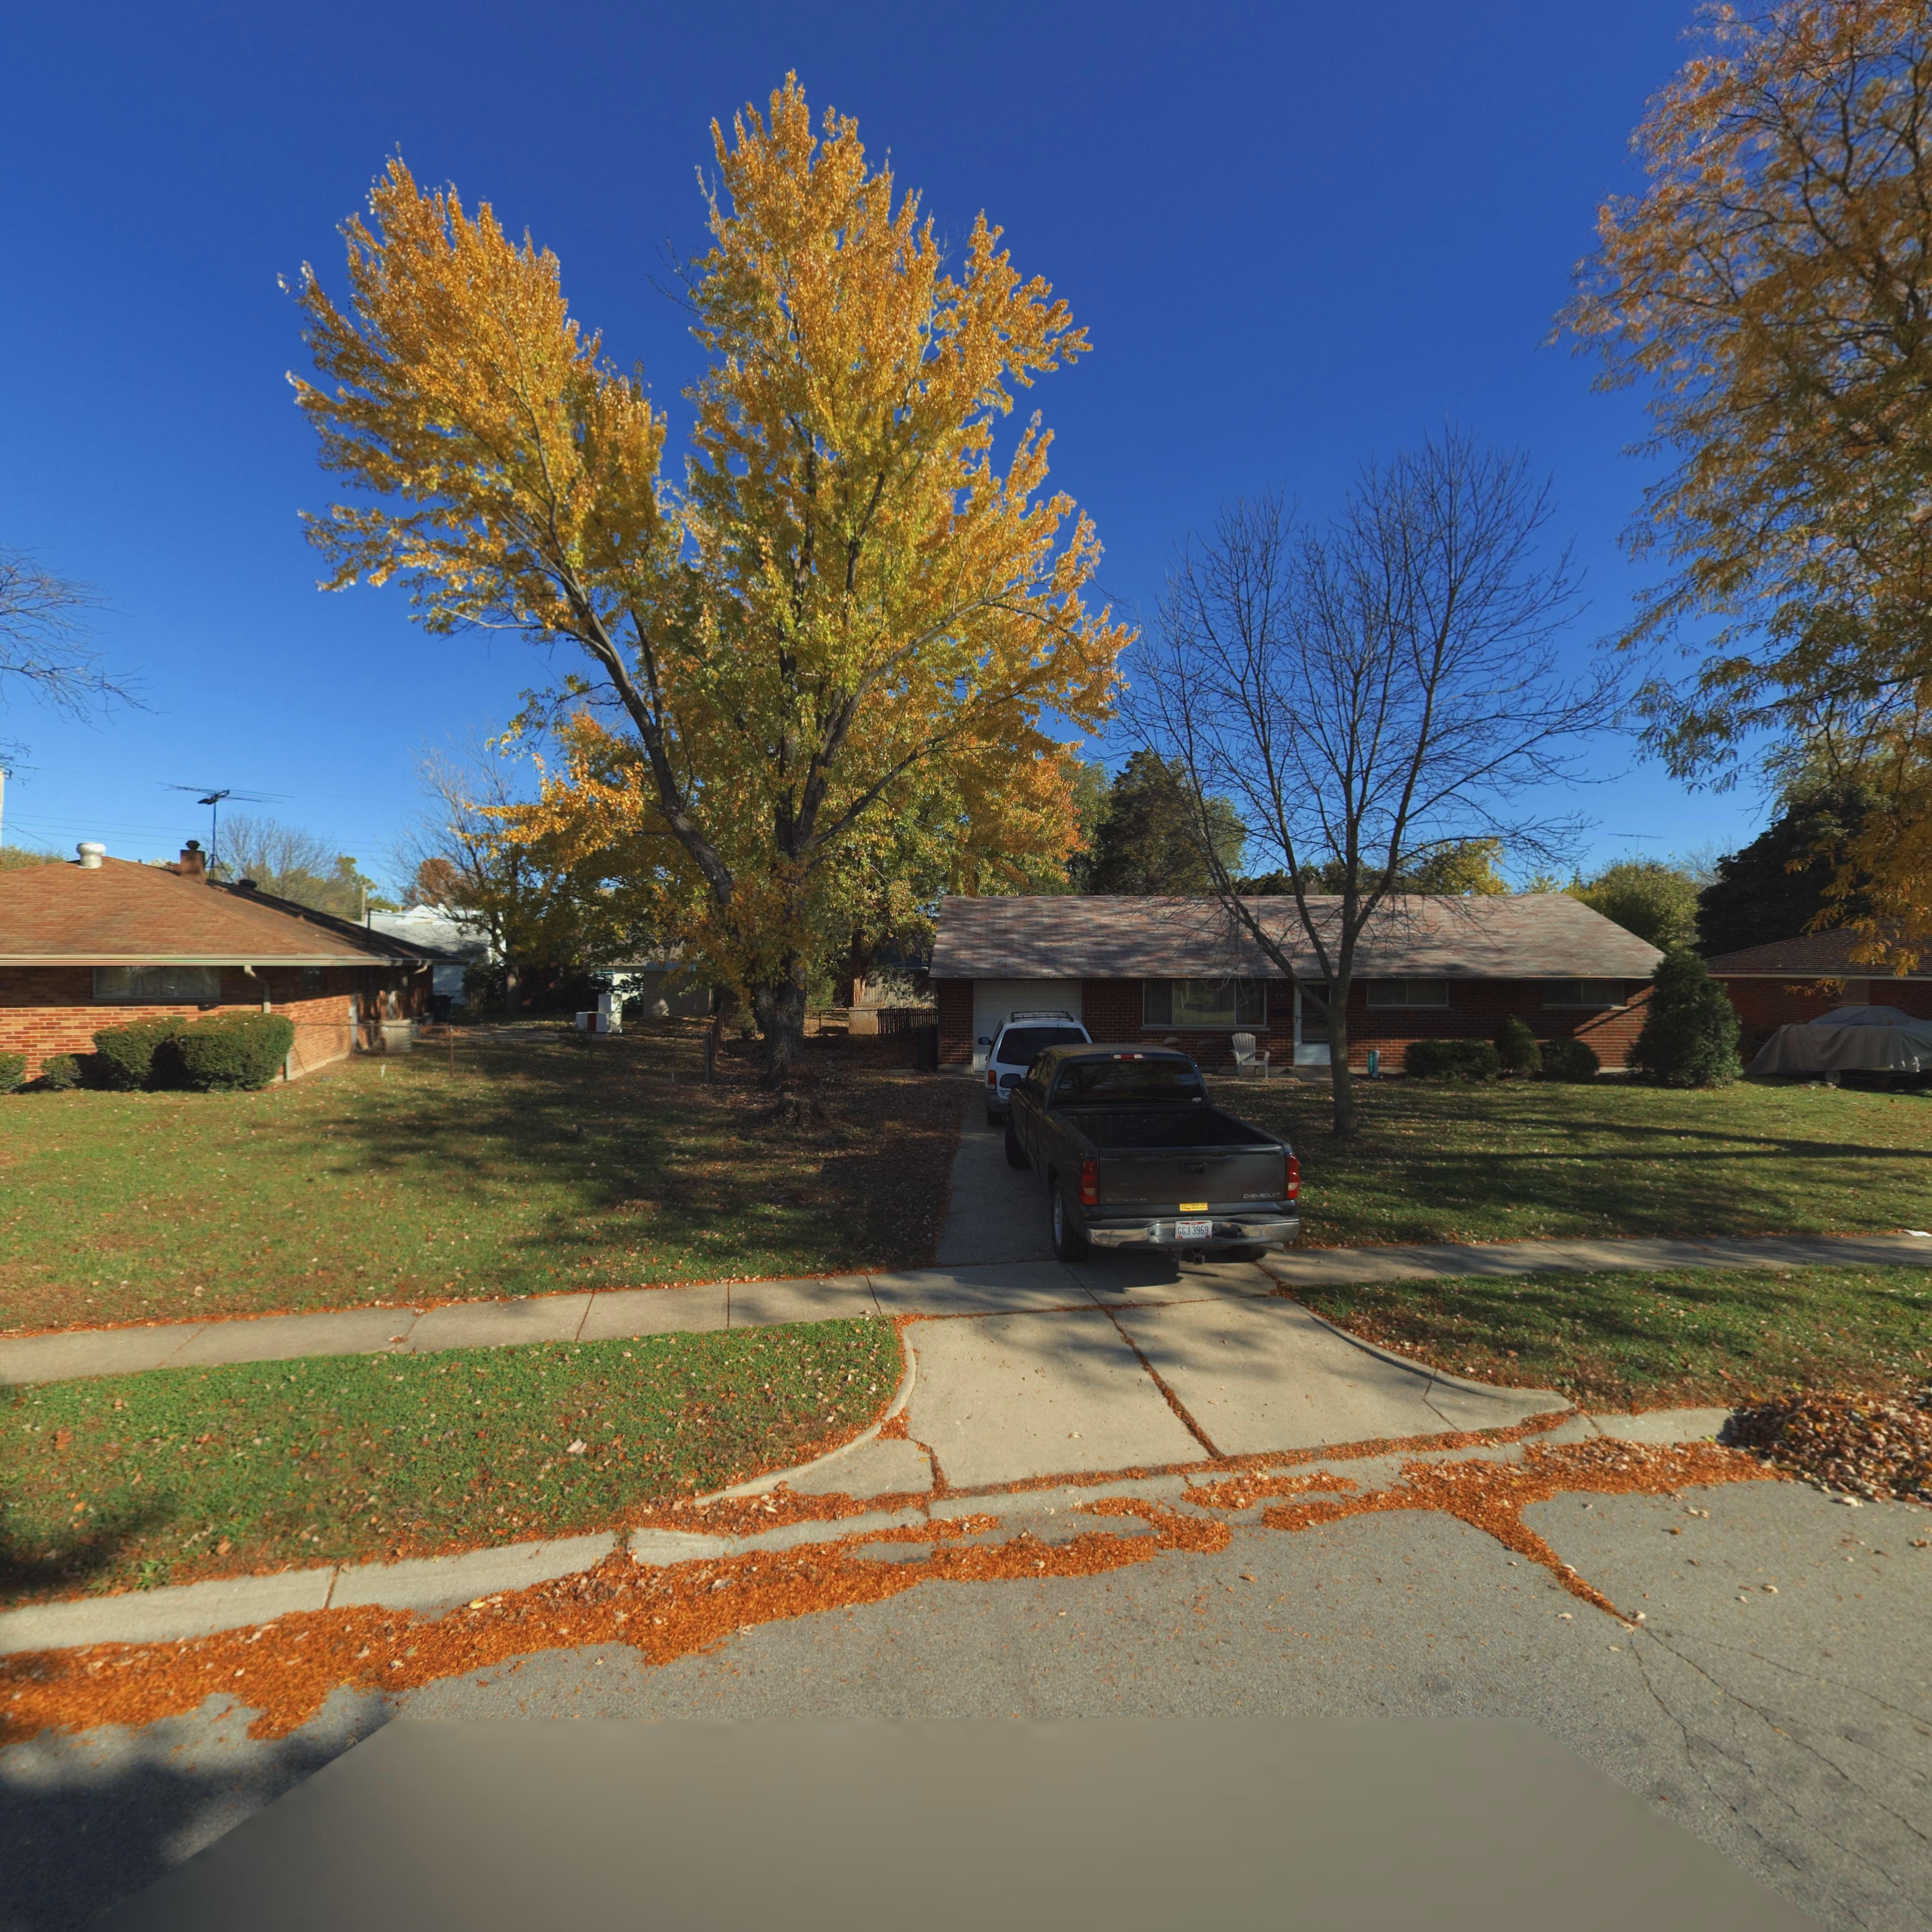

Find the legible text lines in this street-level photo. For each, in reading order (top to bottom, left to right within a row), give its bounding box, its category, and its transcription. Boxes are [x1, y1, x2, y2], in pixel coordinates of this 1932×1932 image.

[1275, 993, 1287, 998] StreetNumber: 2711
[1369, 1052, 1373, 1072] StreetNumber: 2711